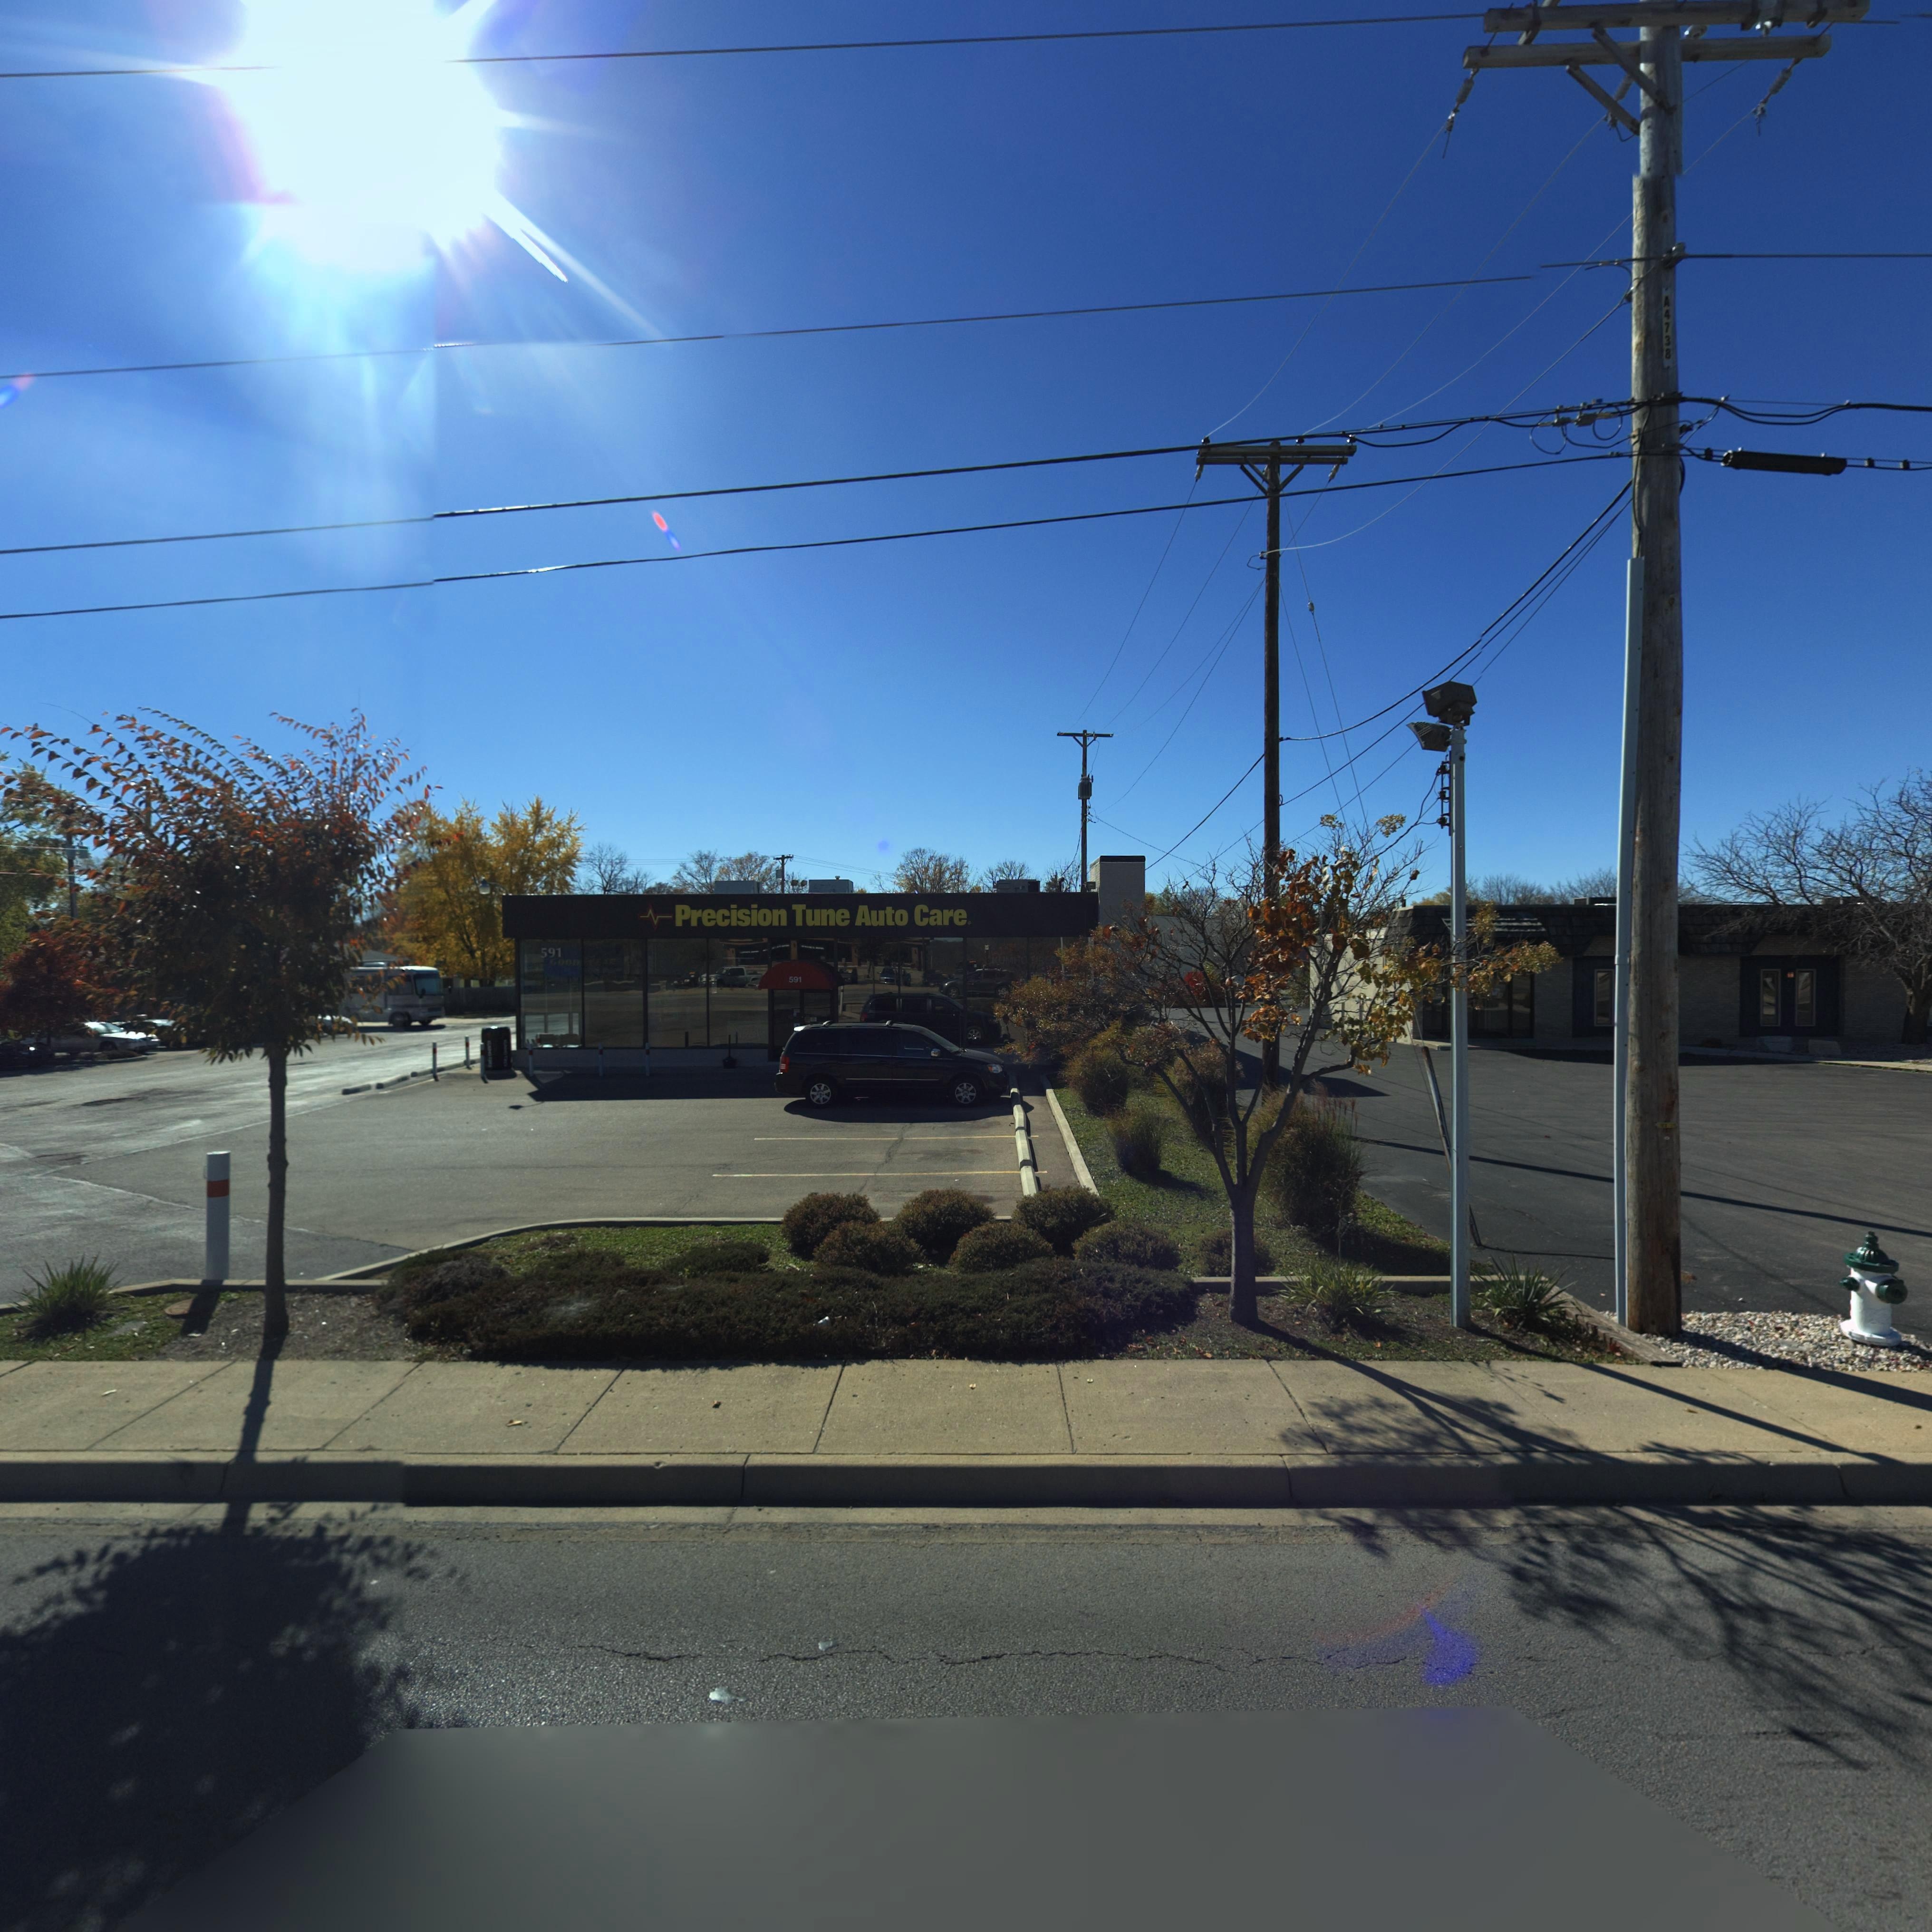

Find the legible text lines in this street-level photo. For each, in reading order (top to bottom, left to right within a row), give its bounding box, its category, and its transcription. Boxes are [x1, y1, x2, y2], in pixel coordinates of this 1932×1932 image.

[674, 903, 968, 927] BusinessName: PRecision Tune Auto Care
[540, 947, 562, 959] StreetNumber: 591
[788, 975, 803, 984] StreetNumber: 591